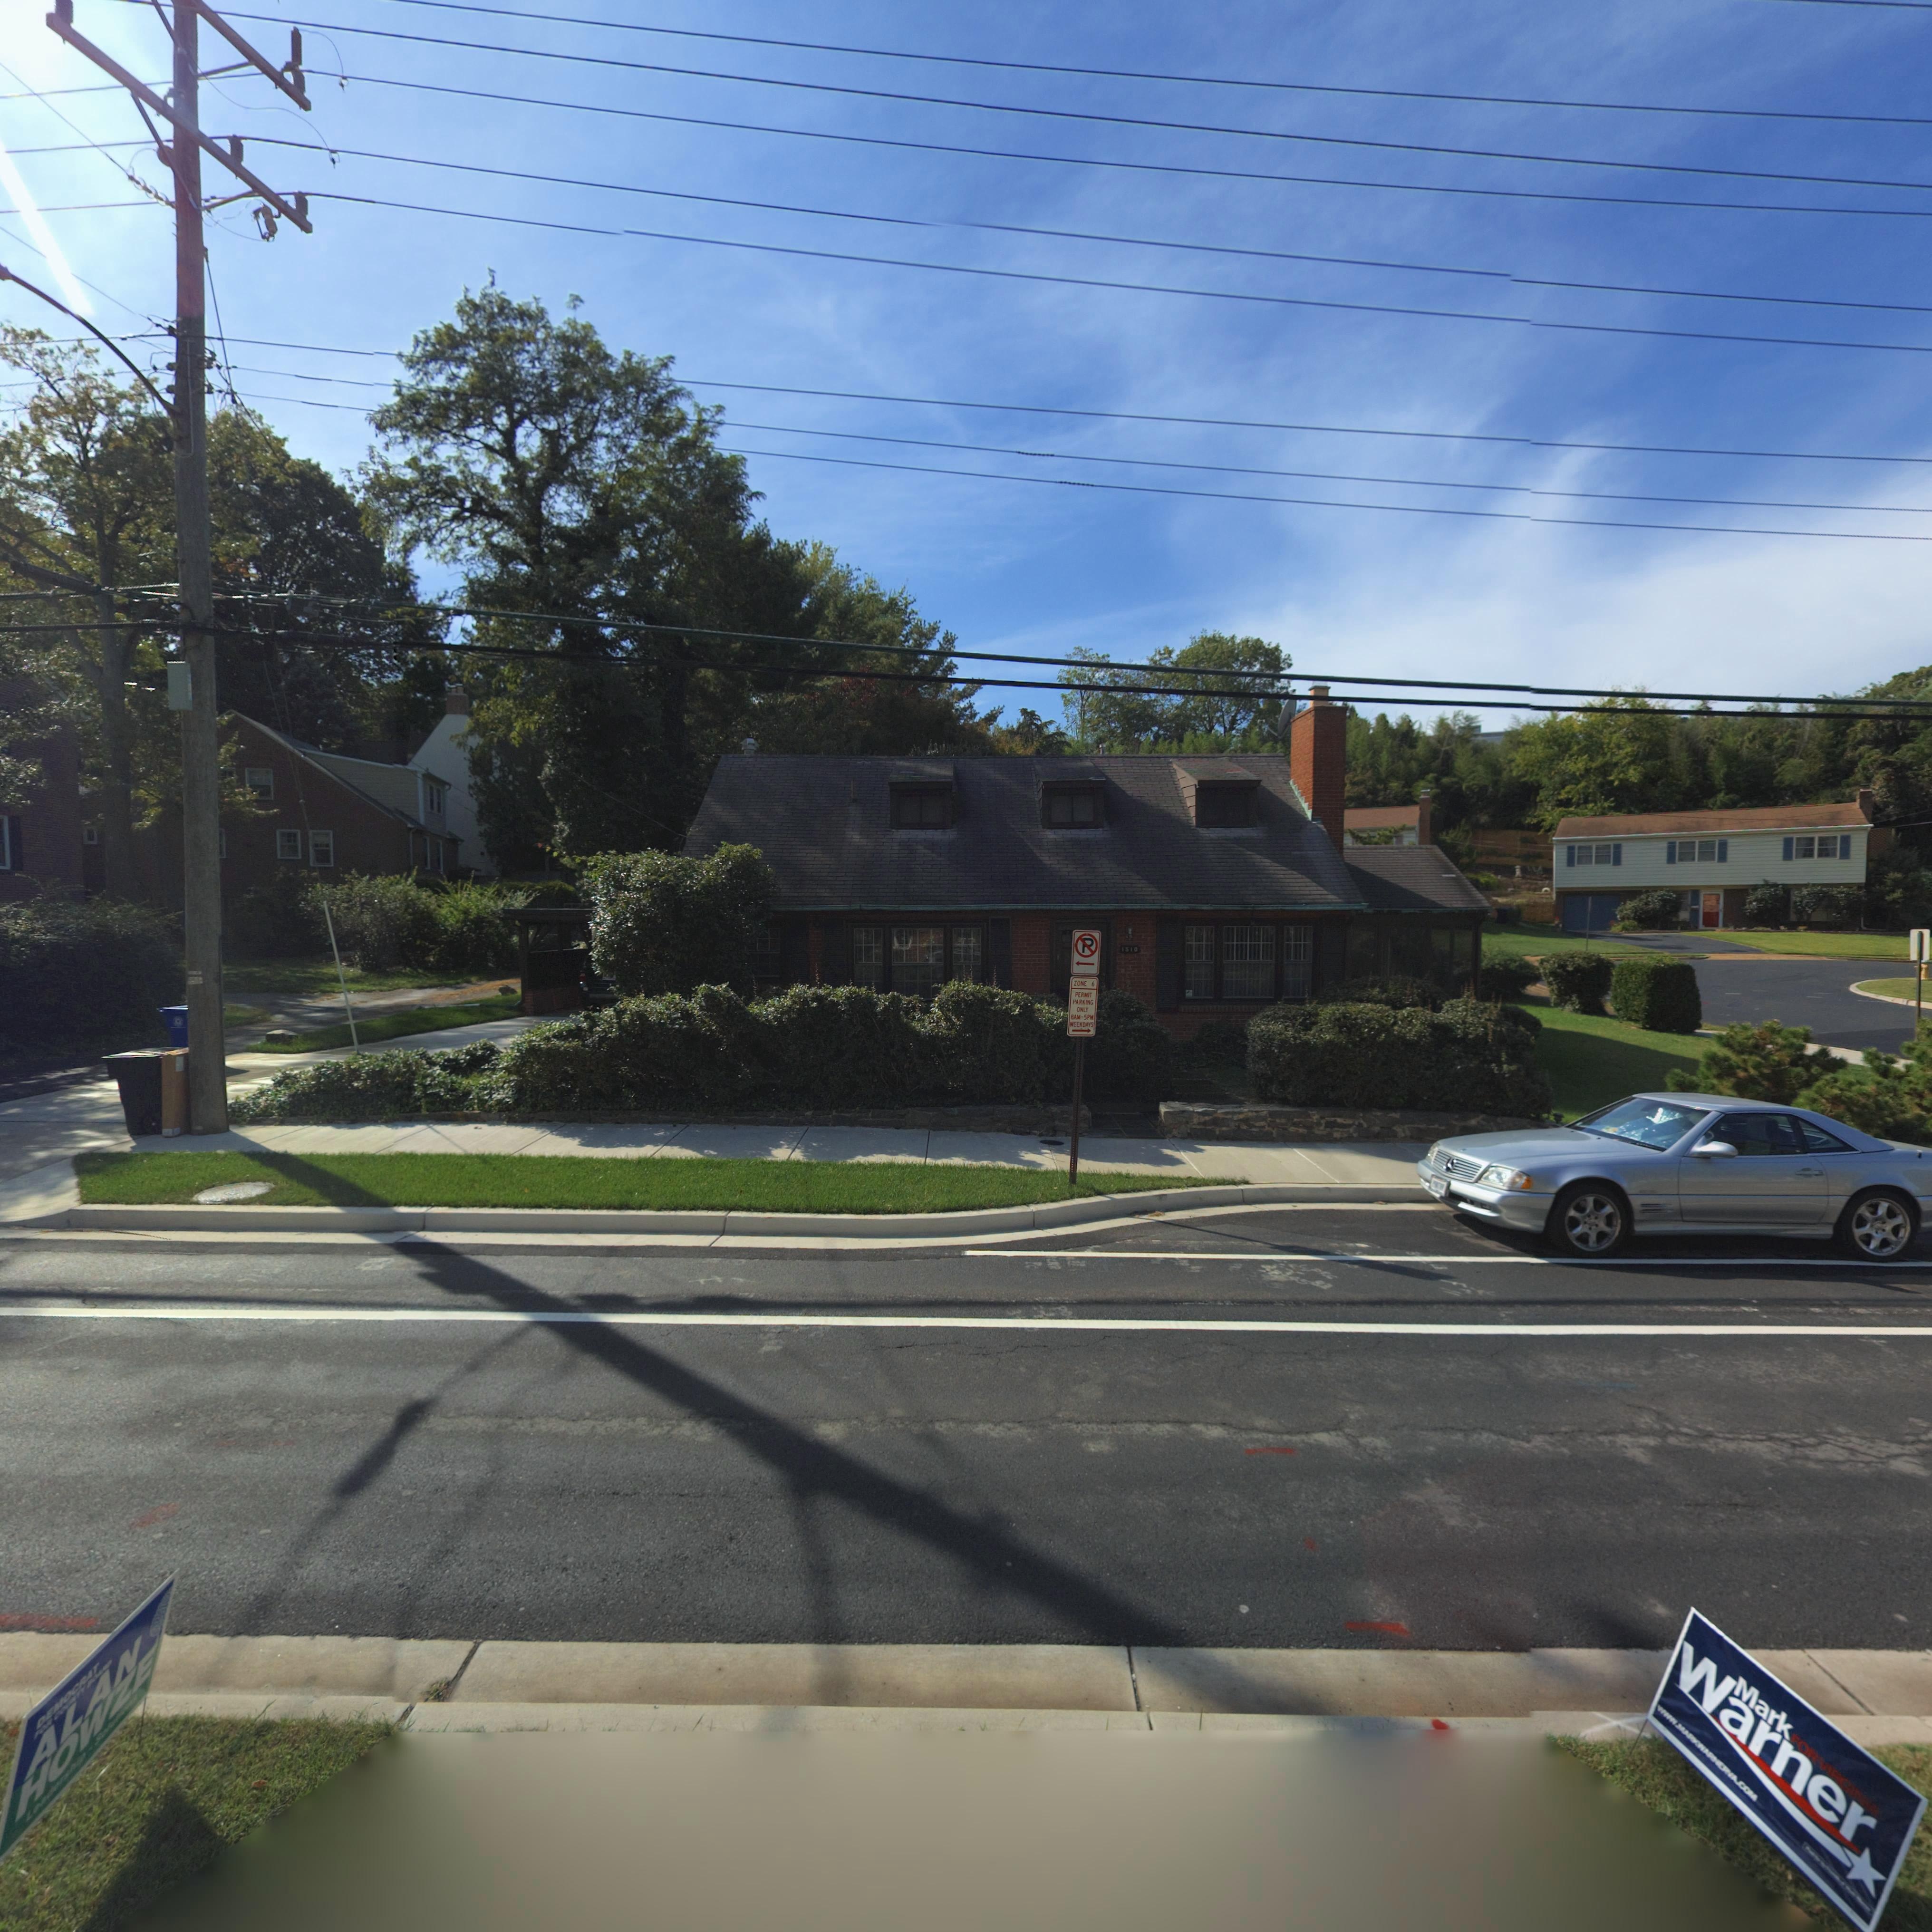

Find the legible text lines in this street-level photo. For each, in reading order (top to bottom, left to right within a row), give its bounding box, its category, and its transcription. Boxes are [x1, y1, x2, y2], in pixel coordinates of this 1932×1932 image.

[1121, 946, 1139, 953] StreetNumber: 1510
[1072, 979, 1096, 987] None: ZONE 6
[1074, 991, 1093, 998] None: PERMIT
[1072, 998, 1094, 1006] None: PARKING
[1076, 1006, 1089, 1013] None: ONLY
[1070, 1013, 1094, 1021] None: 8AM-5PM
[1070, 1021, 1094, 1028] None: WEEKDAYS
[35, 1658, 101, 1732] None: DEMOCRAT
[20, 1630, 145, 1786] None: ALAN
[1729, 1670, 1797, 1746] None: Mark
[11, 1633, 162, 1826] None: HOWZE
[1676, 1636, 1882, 1845] None: Warner
[1787, 1731, 1881, 1821] None: FOR VIRGINIA